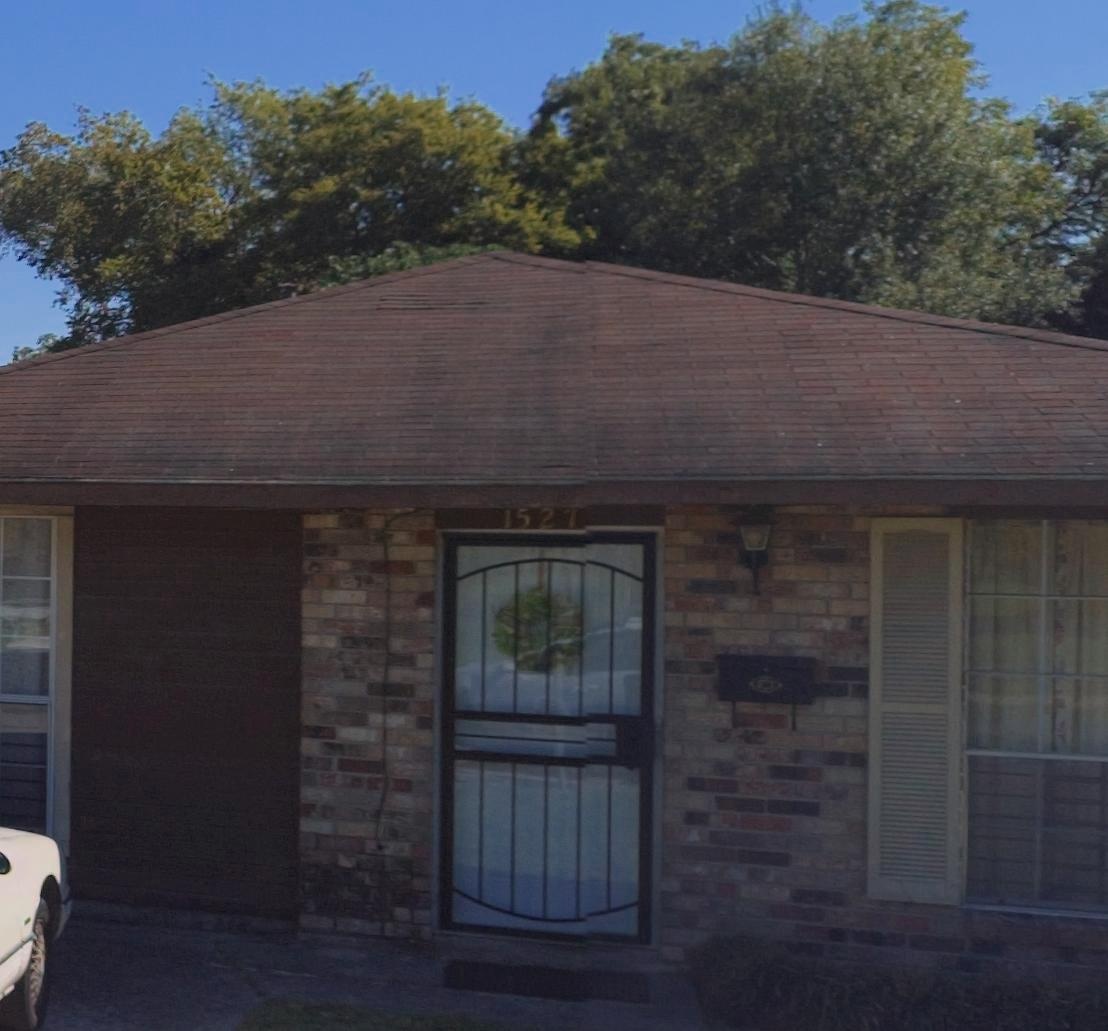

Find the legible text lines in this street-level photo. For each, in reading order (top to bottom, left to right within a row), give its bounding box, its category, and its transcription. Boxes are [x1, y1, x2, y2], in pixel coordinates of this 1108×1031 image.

[500, 505, 580, 531] StreetNumber: 1527